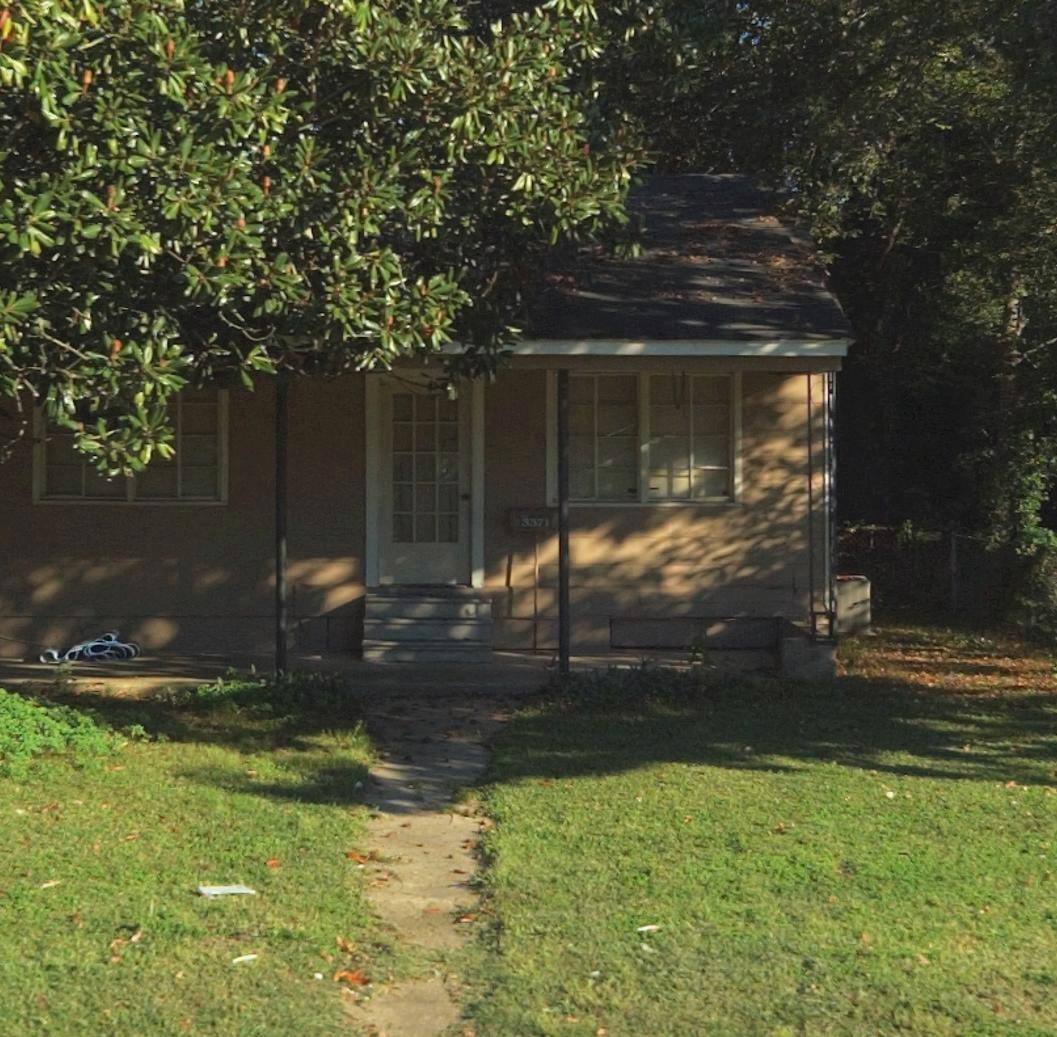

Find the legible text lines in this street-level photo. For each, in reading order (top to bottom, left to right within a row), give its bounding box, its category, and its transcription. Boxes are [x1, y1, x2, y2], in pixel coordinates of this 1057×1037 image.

[521, 517, 550, 528] StreetNumber: 3371